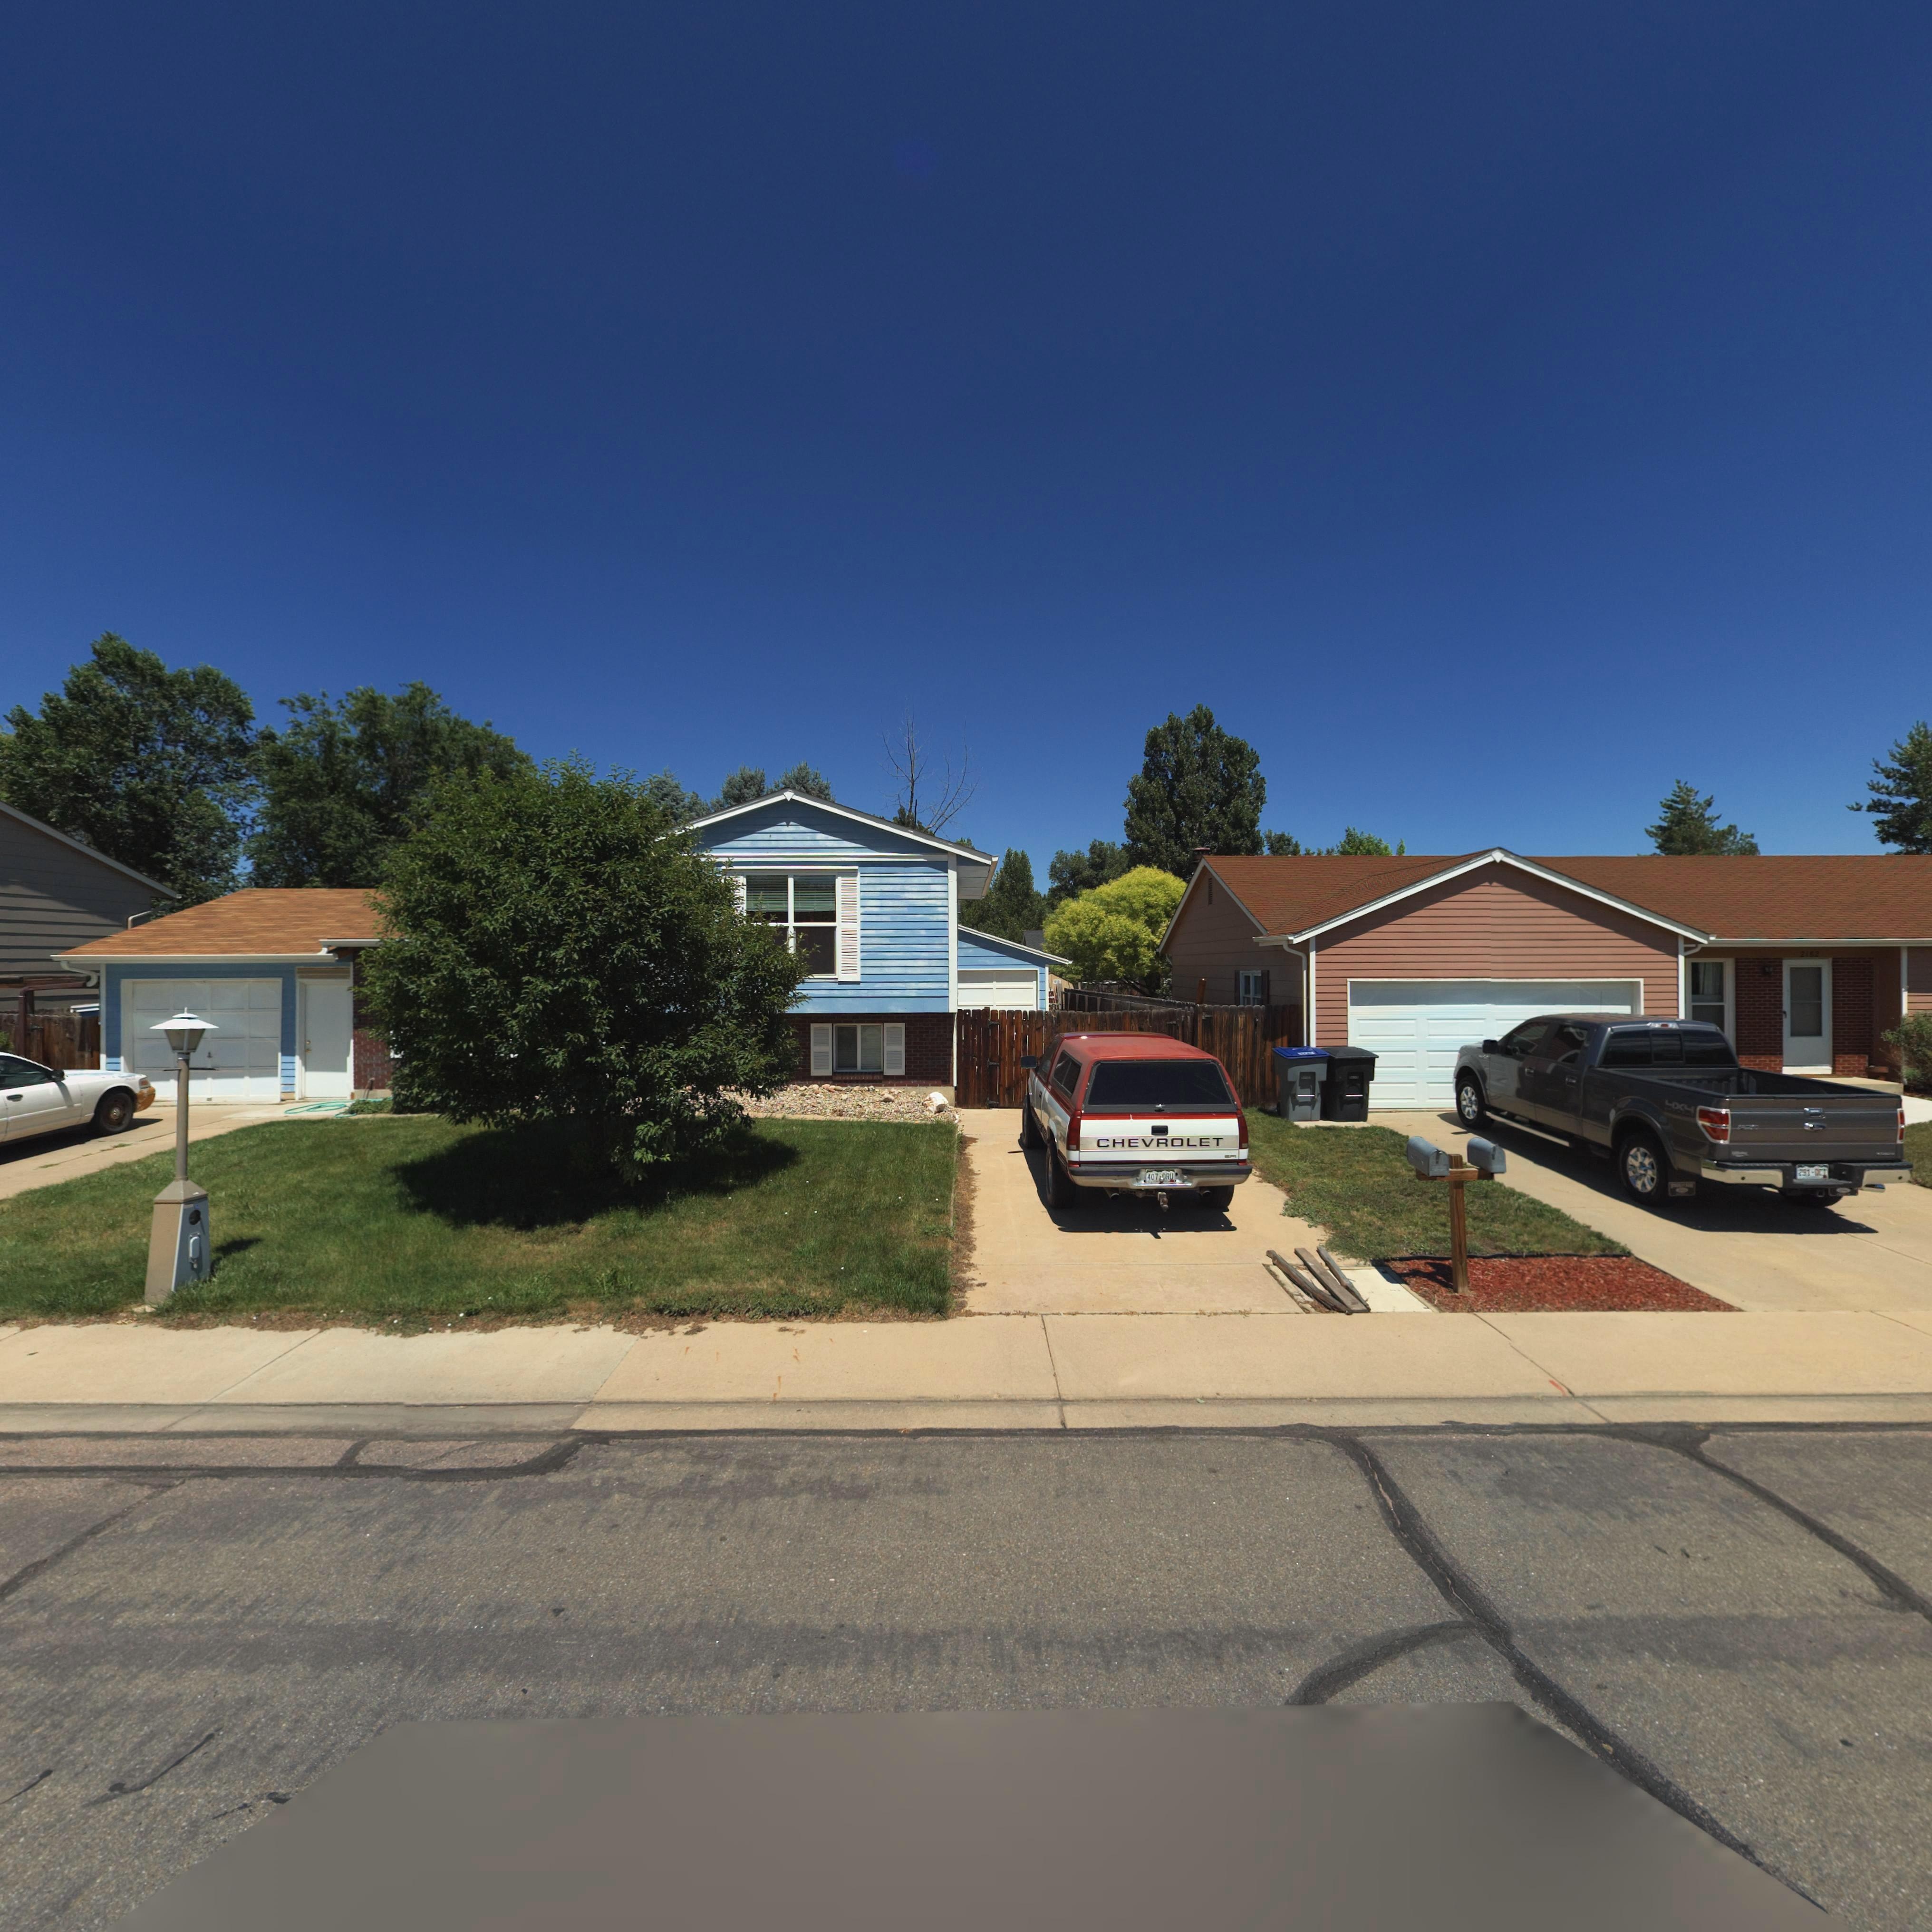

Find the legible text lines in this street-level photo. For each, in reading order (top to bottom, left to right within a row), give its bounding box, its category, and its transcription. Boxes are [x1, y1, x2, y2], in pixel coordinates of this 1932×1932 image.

[1799, 950, 1819, 957] StreetNumber: 2163